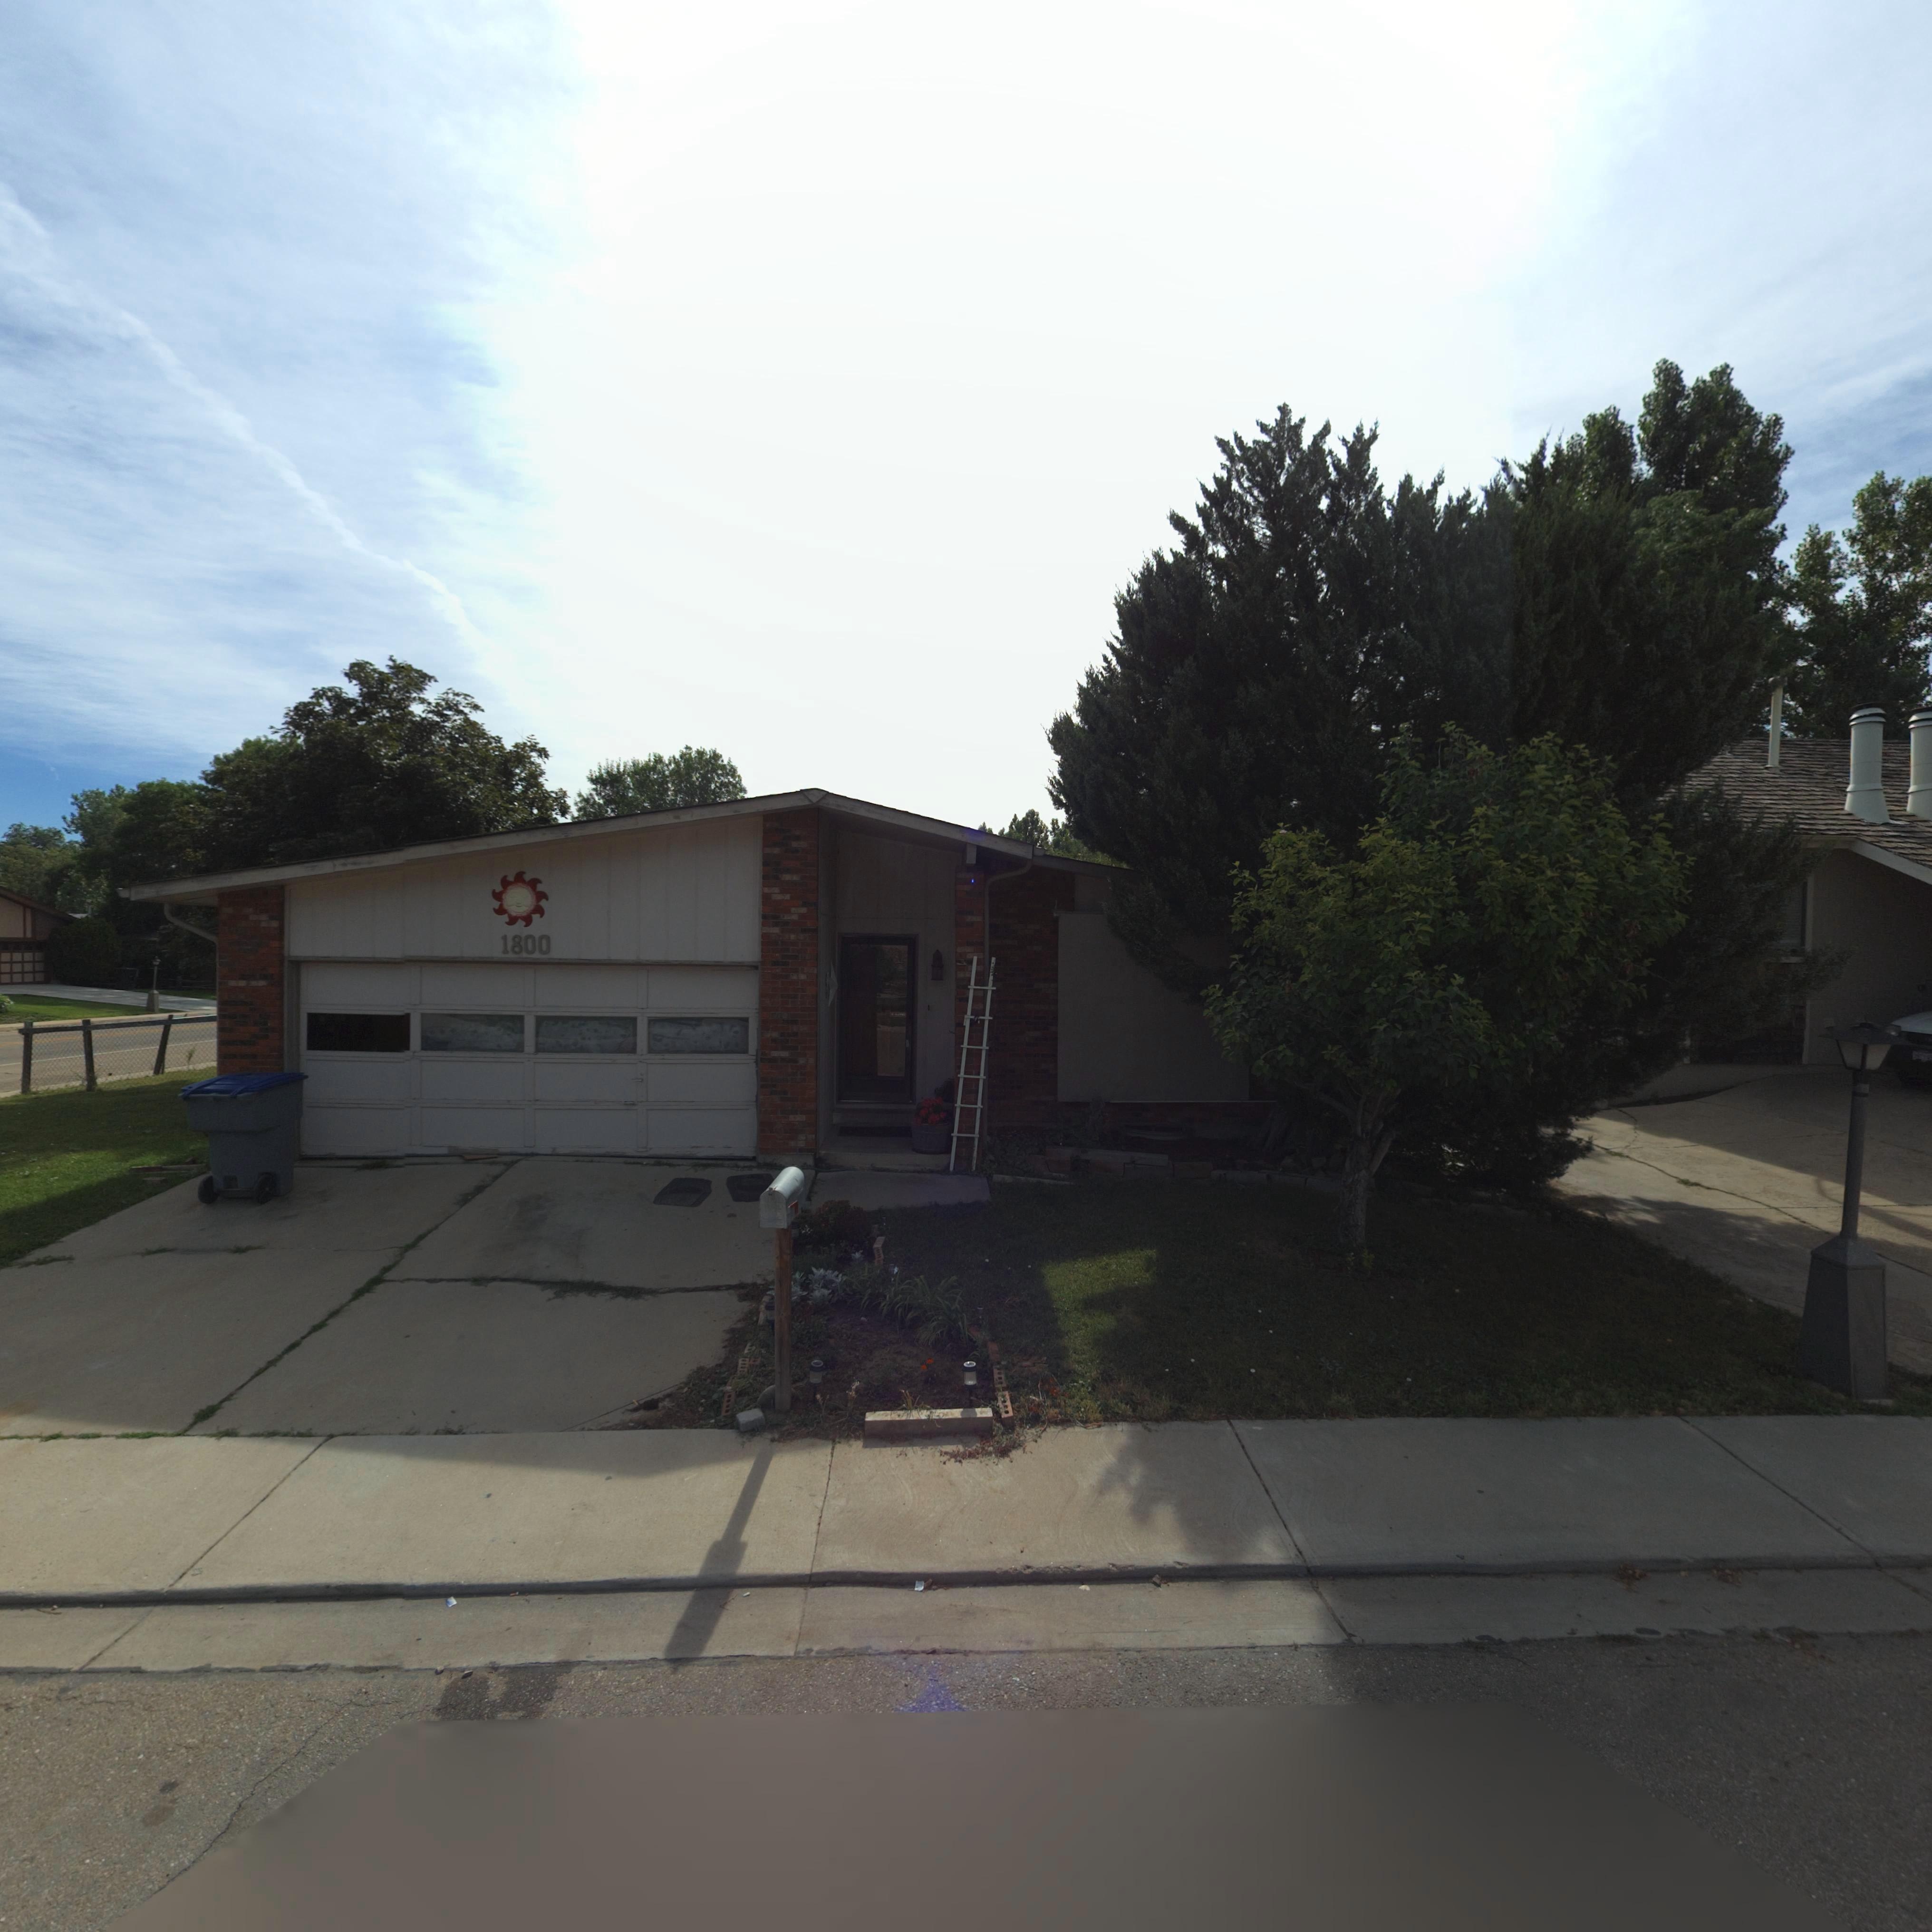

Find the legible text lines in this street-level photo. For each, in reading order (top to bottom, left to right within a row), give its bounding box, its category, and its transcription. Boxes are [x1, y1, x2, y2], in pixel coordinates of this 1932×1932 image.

[500, 933, 551, 956] StreetNumber: 1800